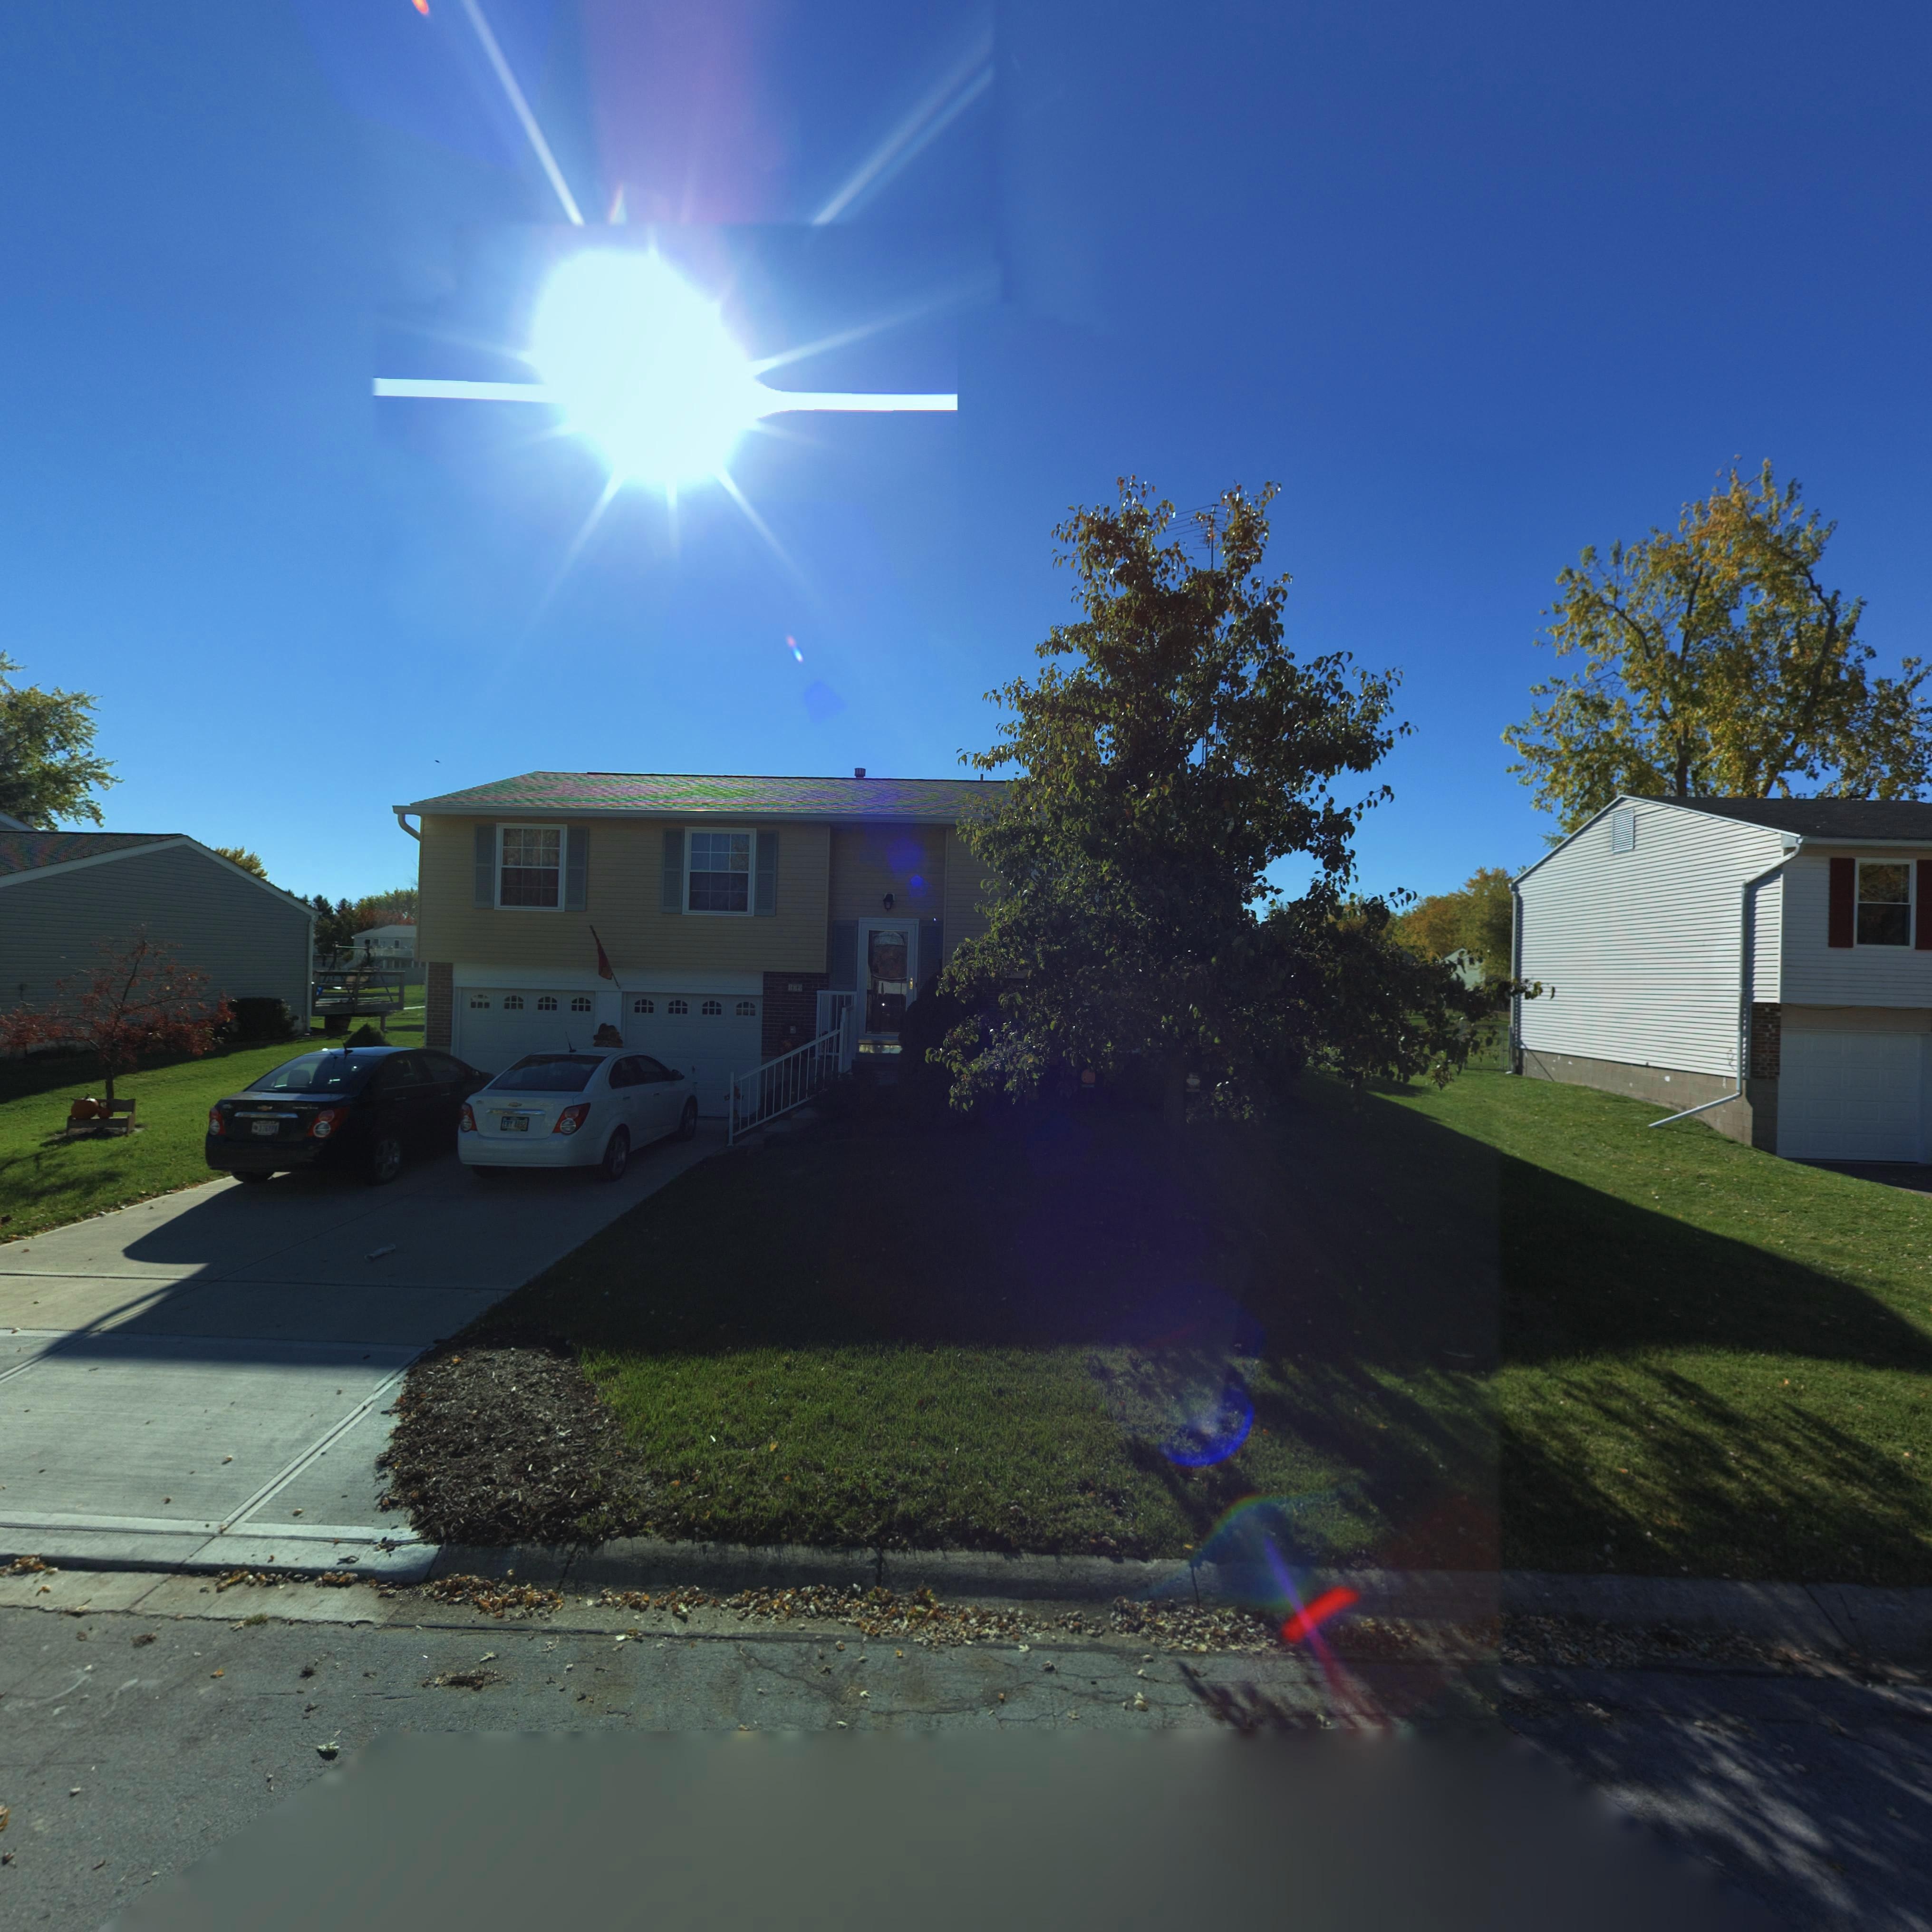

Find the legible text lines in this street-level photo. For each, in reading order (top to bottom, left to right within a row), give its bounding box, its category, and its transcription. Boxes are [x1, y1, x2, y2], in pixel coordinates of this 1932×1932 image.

[789, 984, 803, 992] StreetNumber: 179